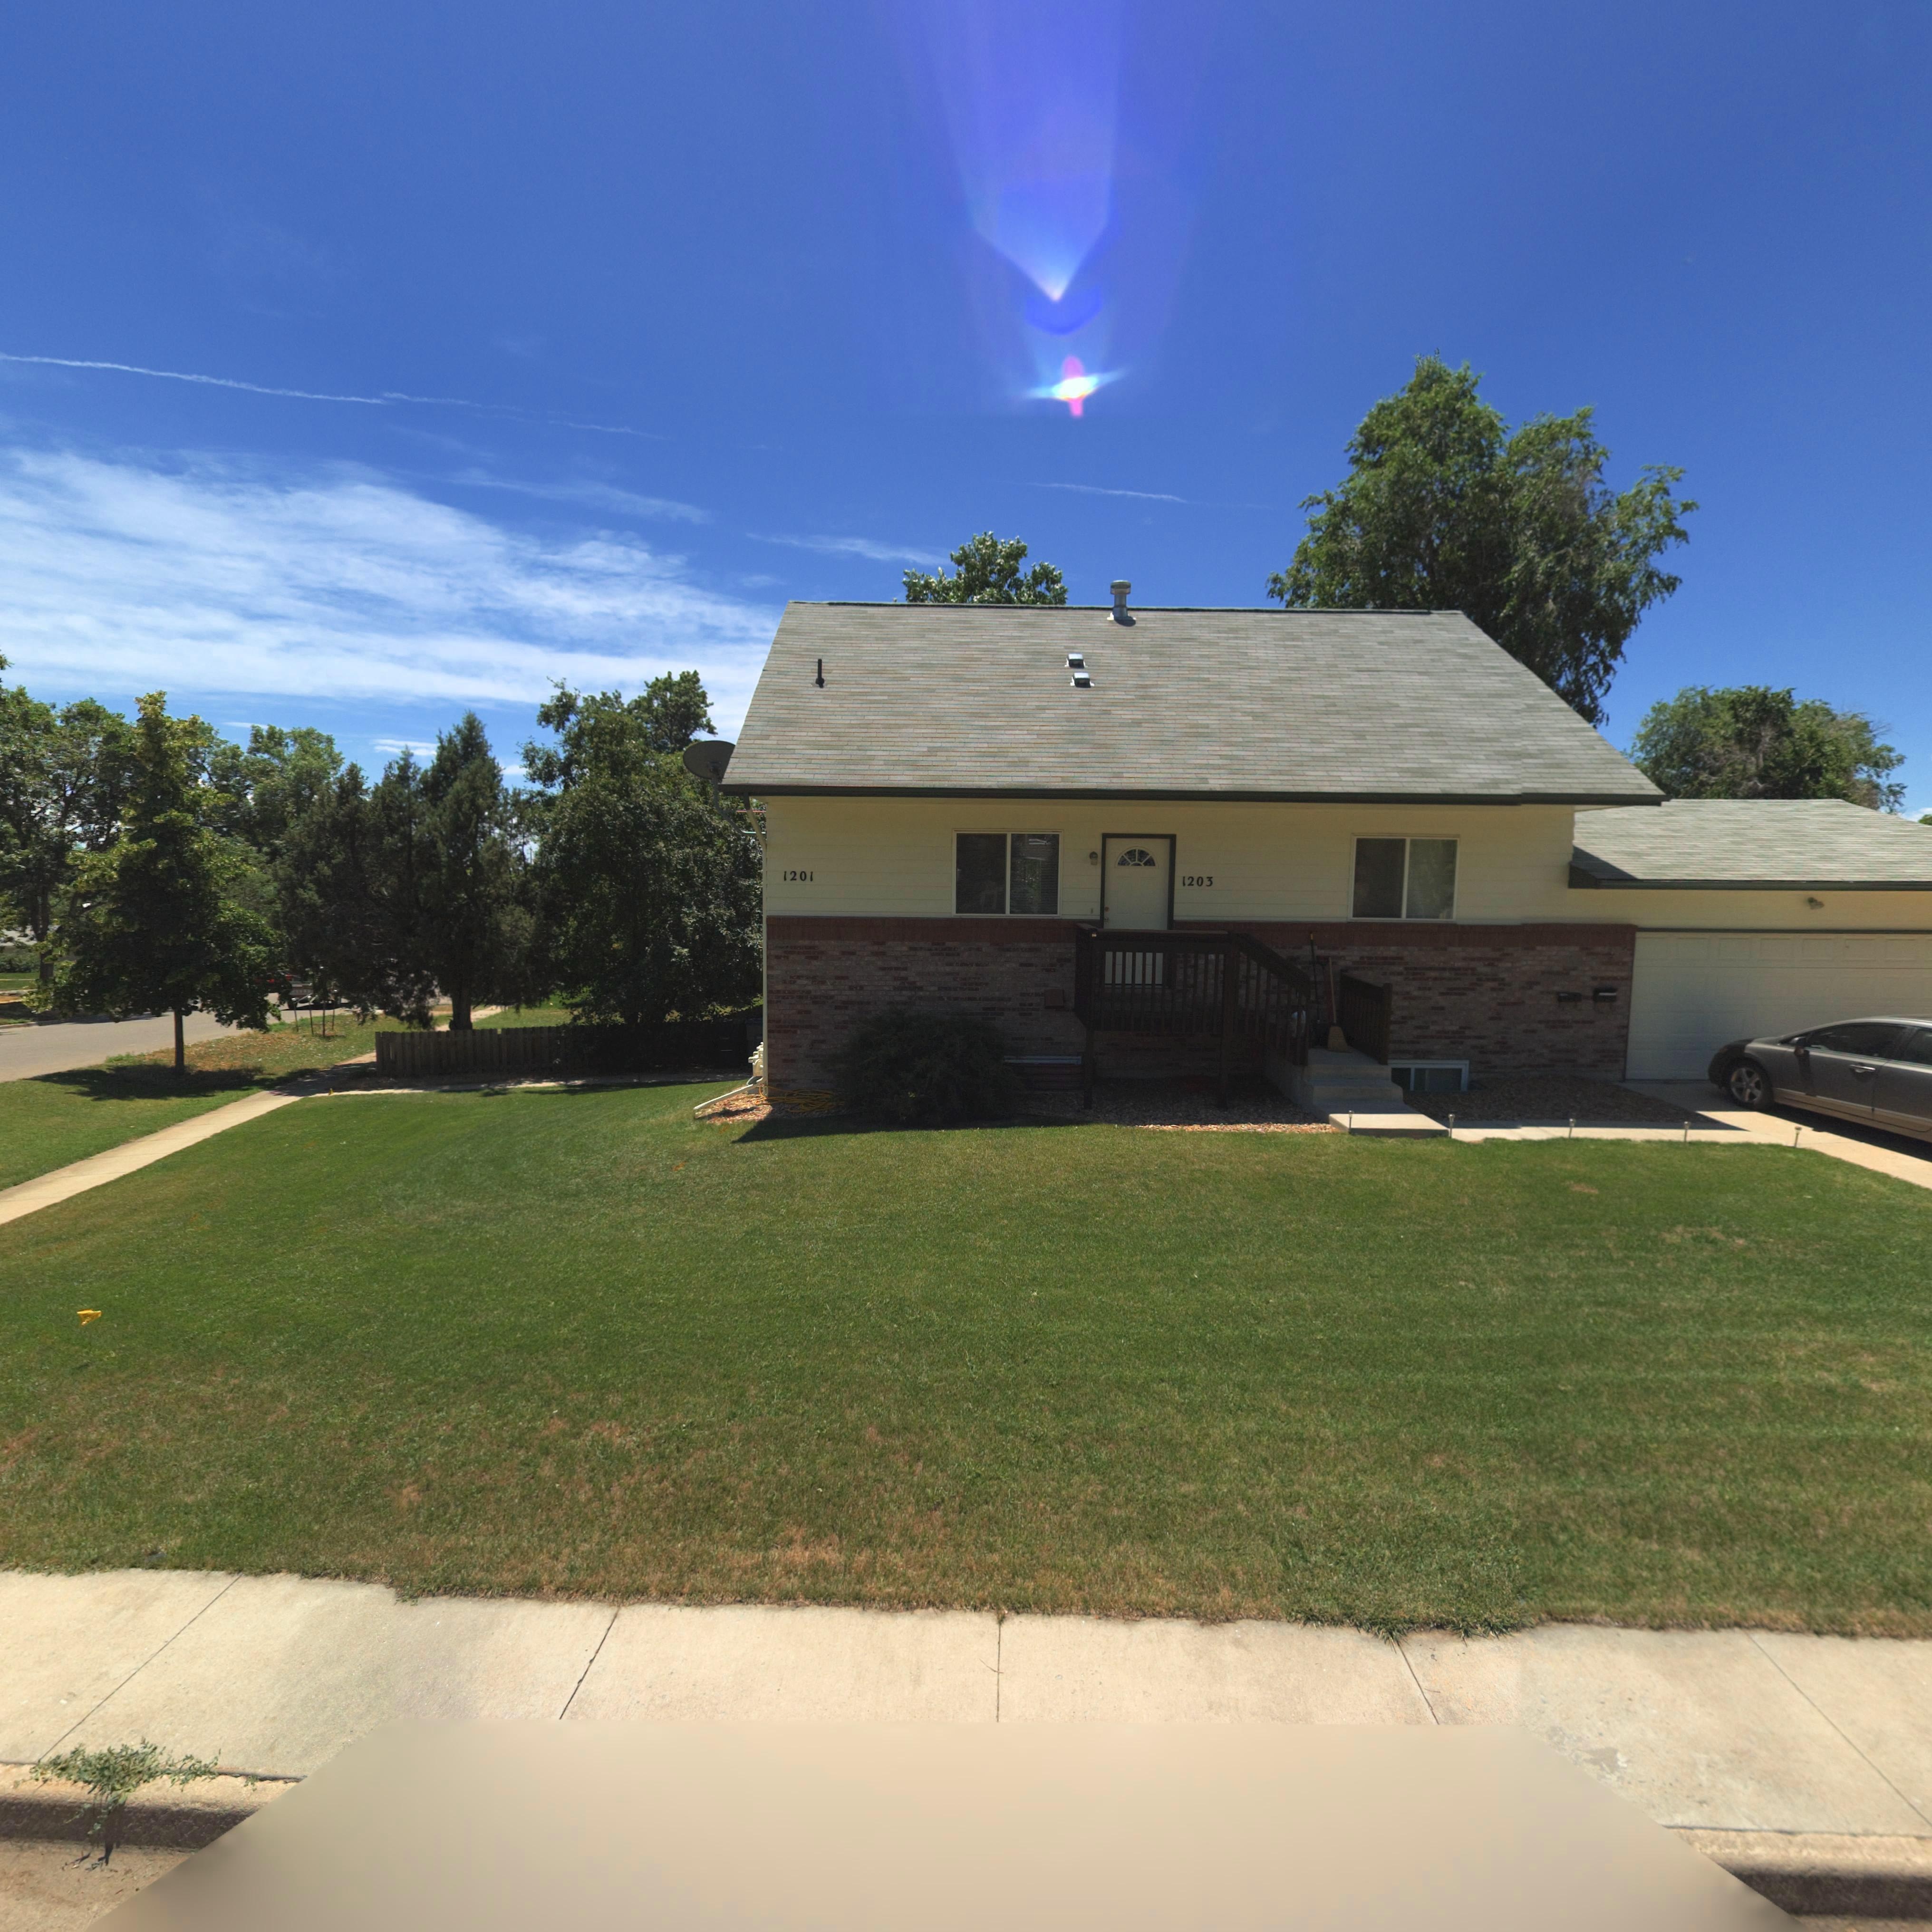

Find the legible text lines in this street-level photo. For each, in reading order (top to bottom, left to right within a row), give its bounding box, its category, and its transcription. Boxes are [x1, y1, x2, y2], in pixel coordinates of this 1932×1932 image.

[783, 870, 813, 882] StreetNumber: 1201
[1182, 876, 1213, 887] StreetNumber: 1203